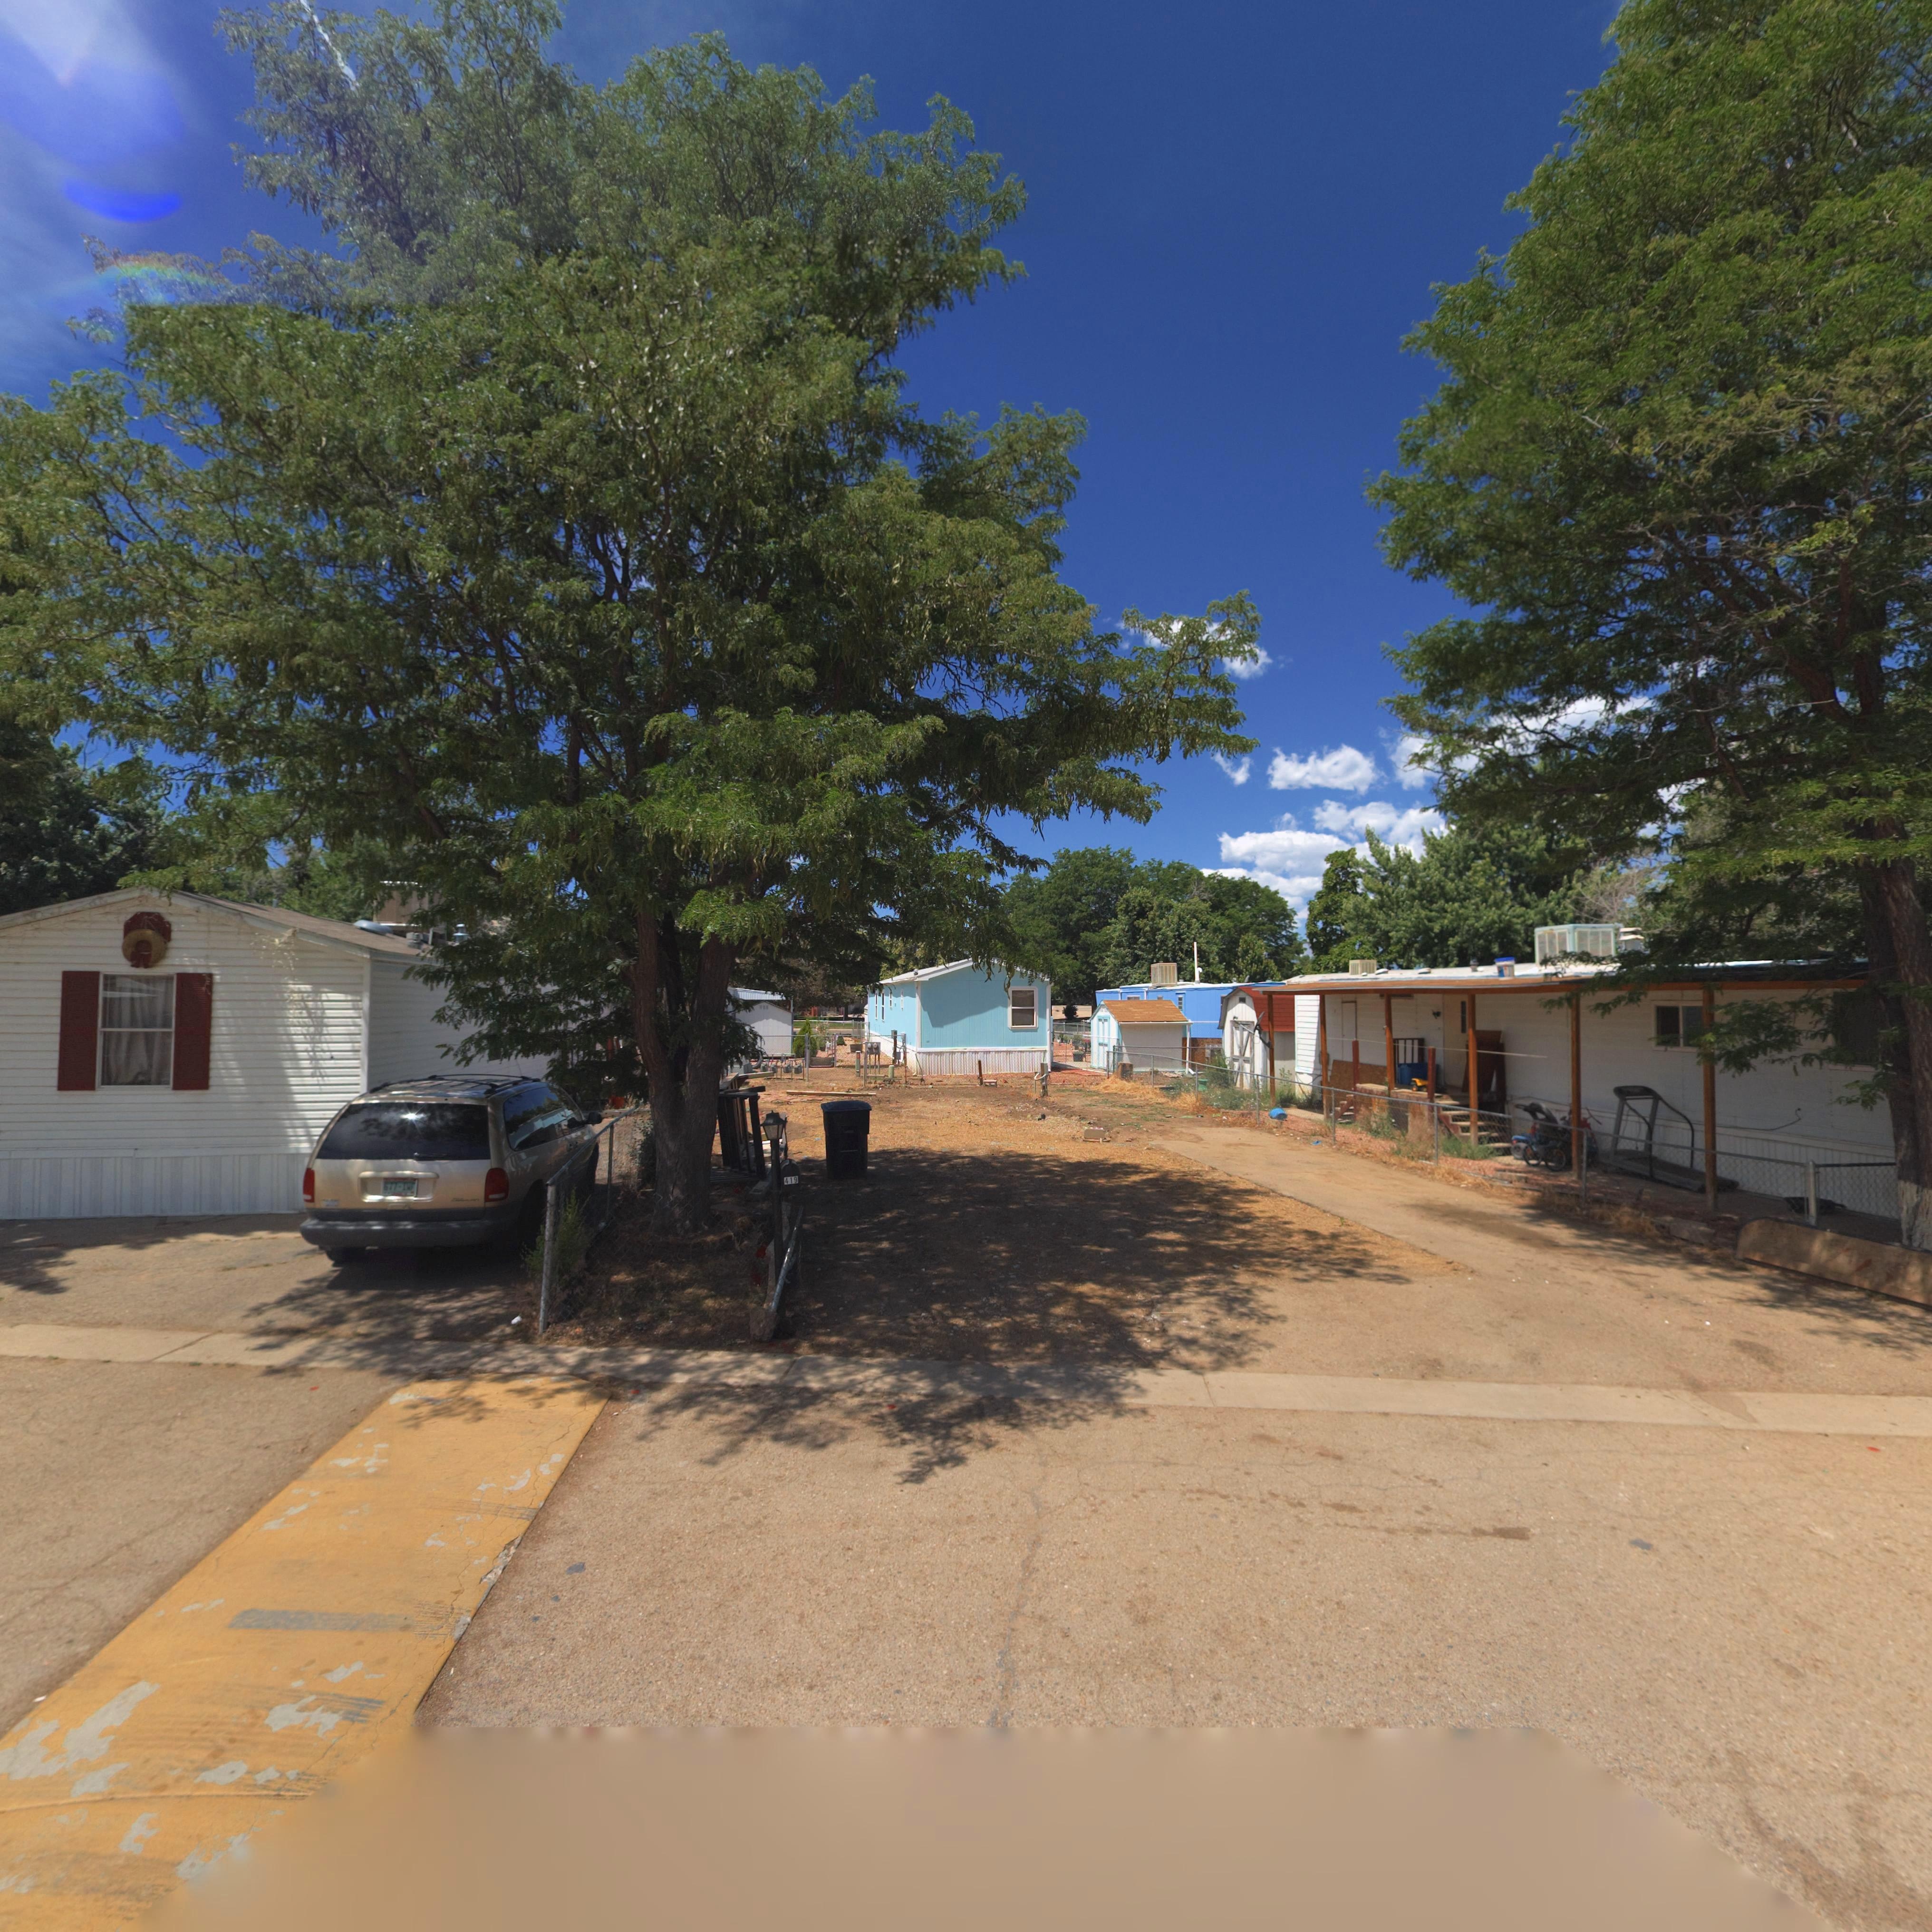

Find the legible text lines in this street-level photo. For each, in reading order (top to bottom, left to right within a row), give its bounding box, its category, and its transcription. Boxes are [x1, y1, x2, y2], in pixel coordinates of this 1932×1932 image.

[784, 1176, 798, 1184] StreetNumber: 419